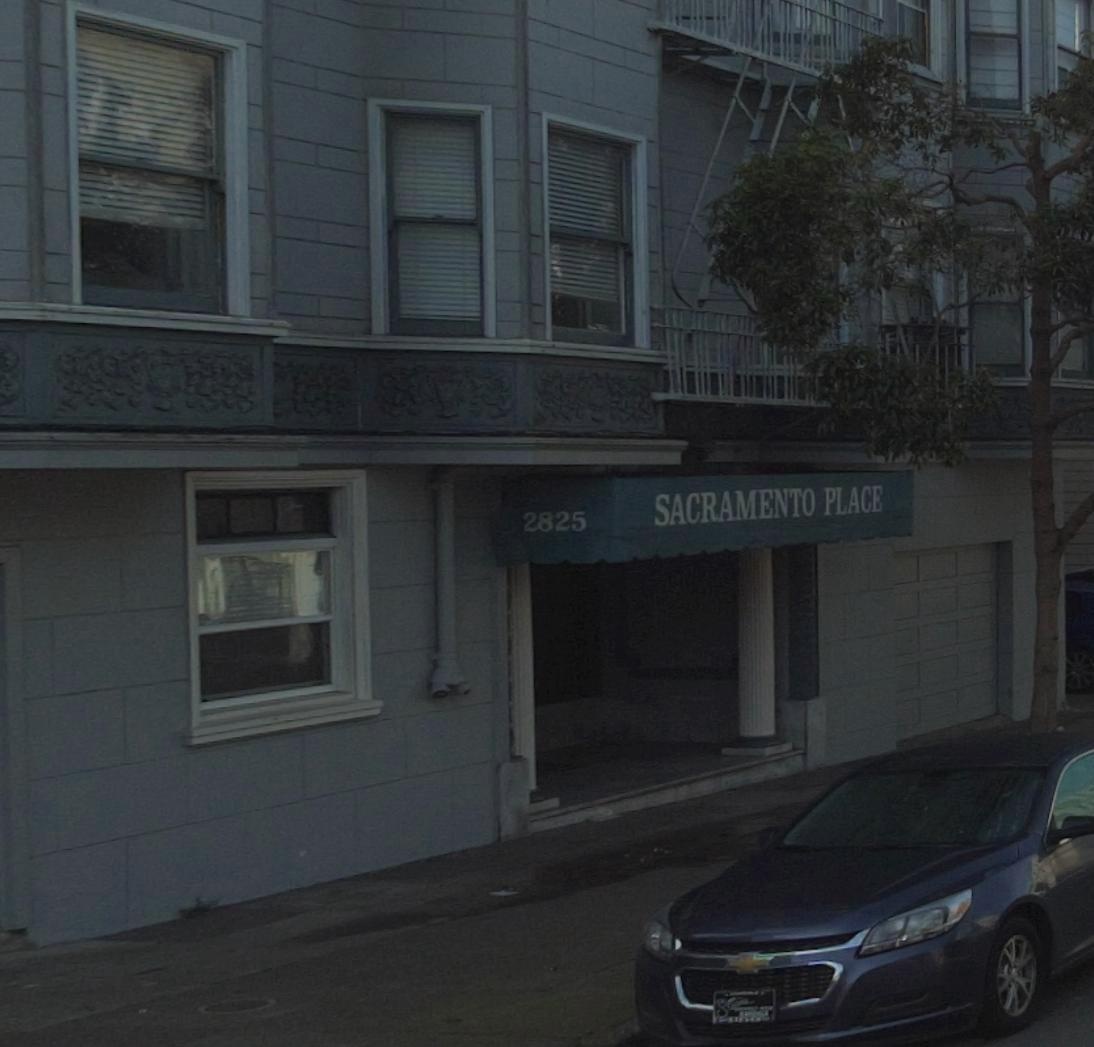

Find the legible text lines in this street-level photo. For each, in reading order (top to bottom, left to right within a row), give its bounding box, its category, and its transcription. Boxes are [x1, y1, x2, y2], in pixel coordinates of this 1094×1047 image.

[521, 508, 589, 535] StreetNumber: 2825
[651, 482, 887, 530] None: SACRAMENTO PLACE